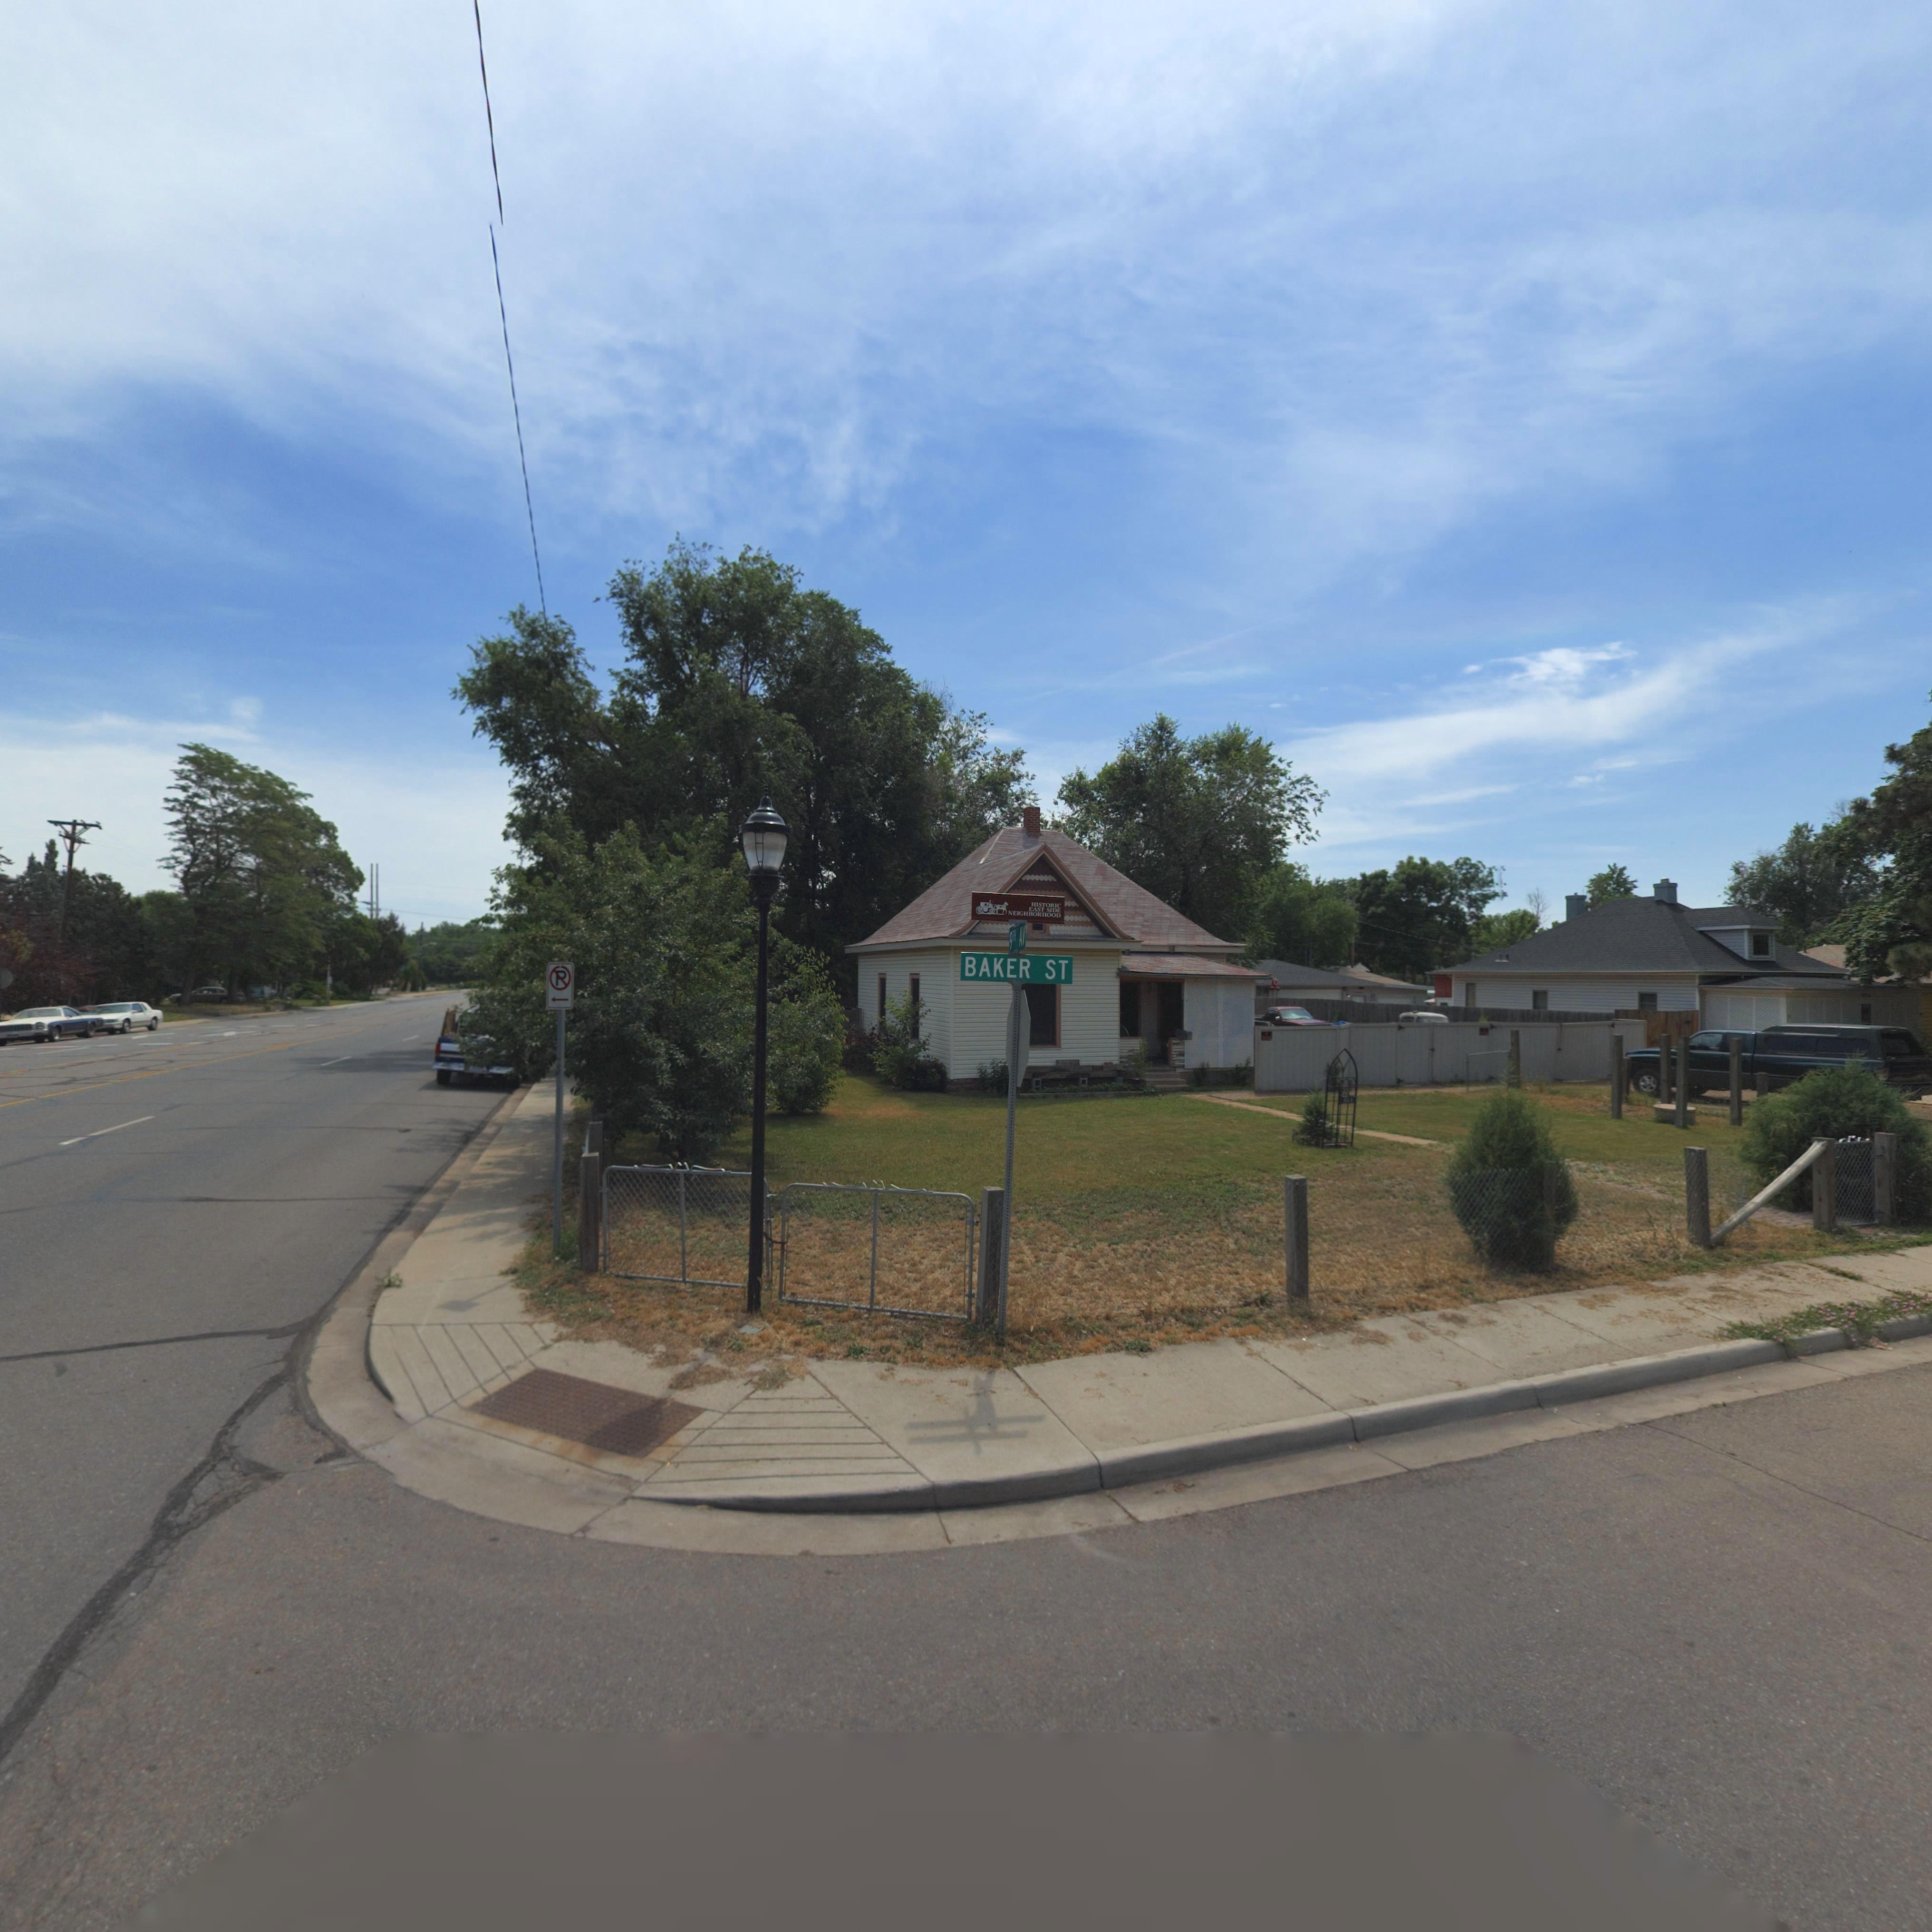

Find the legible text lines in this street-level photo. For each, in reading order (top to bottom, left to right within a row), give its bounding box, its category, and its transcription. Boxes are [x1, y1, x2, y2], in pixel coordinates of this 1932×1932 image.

[1009, 924, 1026, 950] StreetName: 9TH AV
[965, 956, 1068, 980] StreetName: BAKER ST